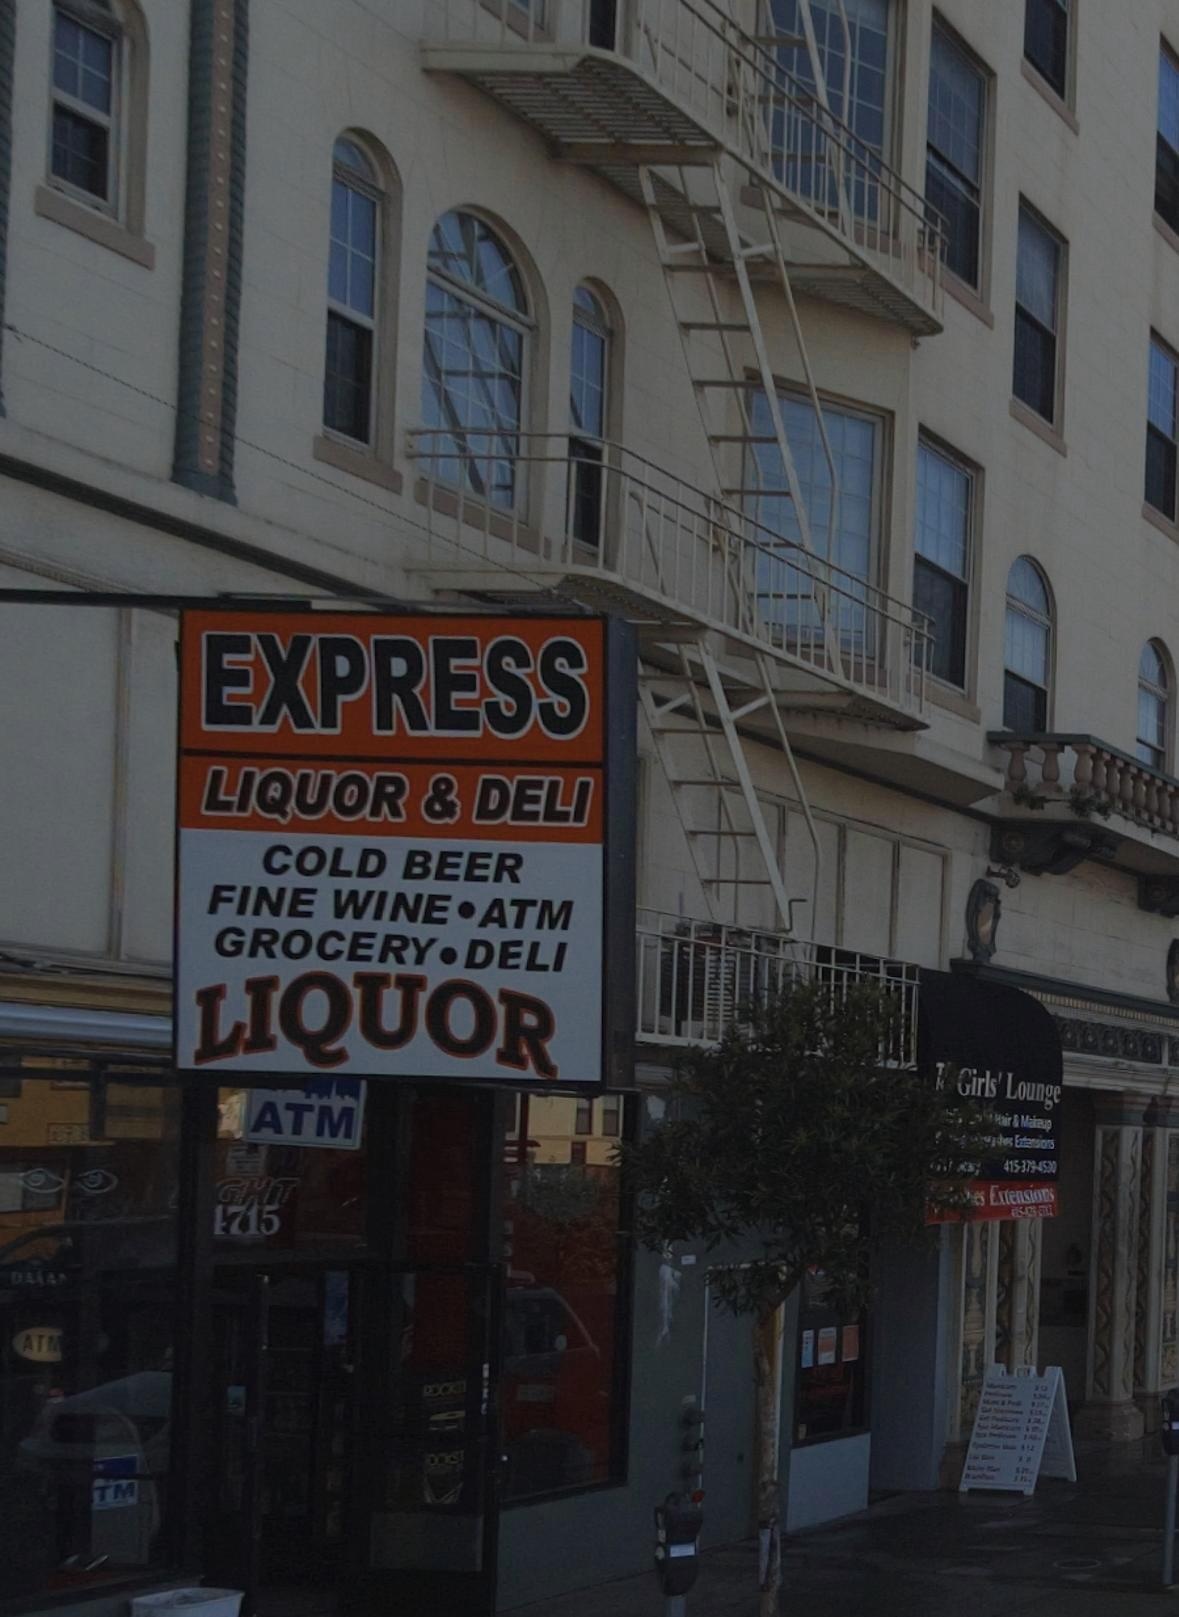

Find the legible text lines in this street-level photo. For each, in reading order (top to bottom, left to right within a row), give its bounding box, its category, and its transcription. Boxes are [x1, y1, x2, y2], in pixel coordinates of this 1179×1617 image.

[199, 628, 591, 739] BusinessName: EXPRESS
[199, 762, 596, 829] None: LIQUOR & DELI
[257, 838, 530, 888] None: COLD BEER
[204, 879, 579, 934] None: FINE WINE-ATM
[211, 924, 572, 974] None: GROCERY-DELI
[191, 967, 561, 1083] None: LIQUOR
[953, 1064, 1064, 1114] BusinessName: Girls' Lounge
[245, 1096, 361, 1145] None: ATM
[998, 1110, 1053, 1133] None: air & Makeup
[1011, 1131, 1057, 1153] None: Extensions
[207, 1173, 305, 1210] None: GHT
[983, 1181, 1058, 1208] None: Extensions
[1000, 1156, 1060, 1178] None: 415-379-45**
[222, 1201, 286, 1239] StreetNumber: 715
[15, 1329, 66, 1359] None: ATM
[89, 1478, 140, 1505] None: TM